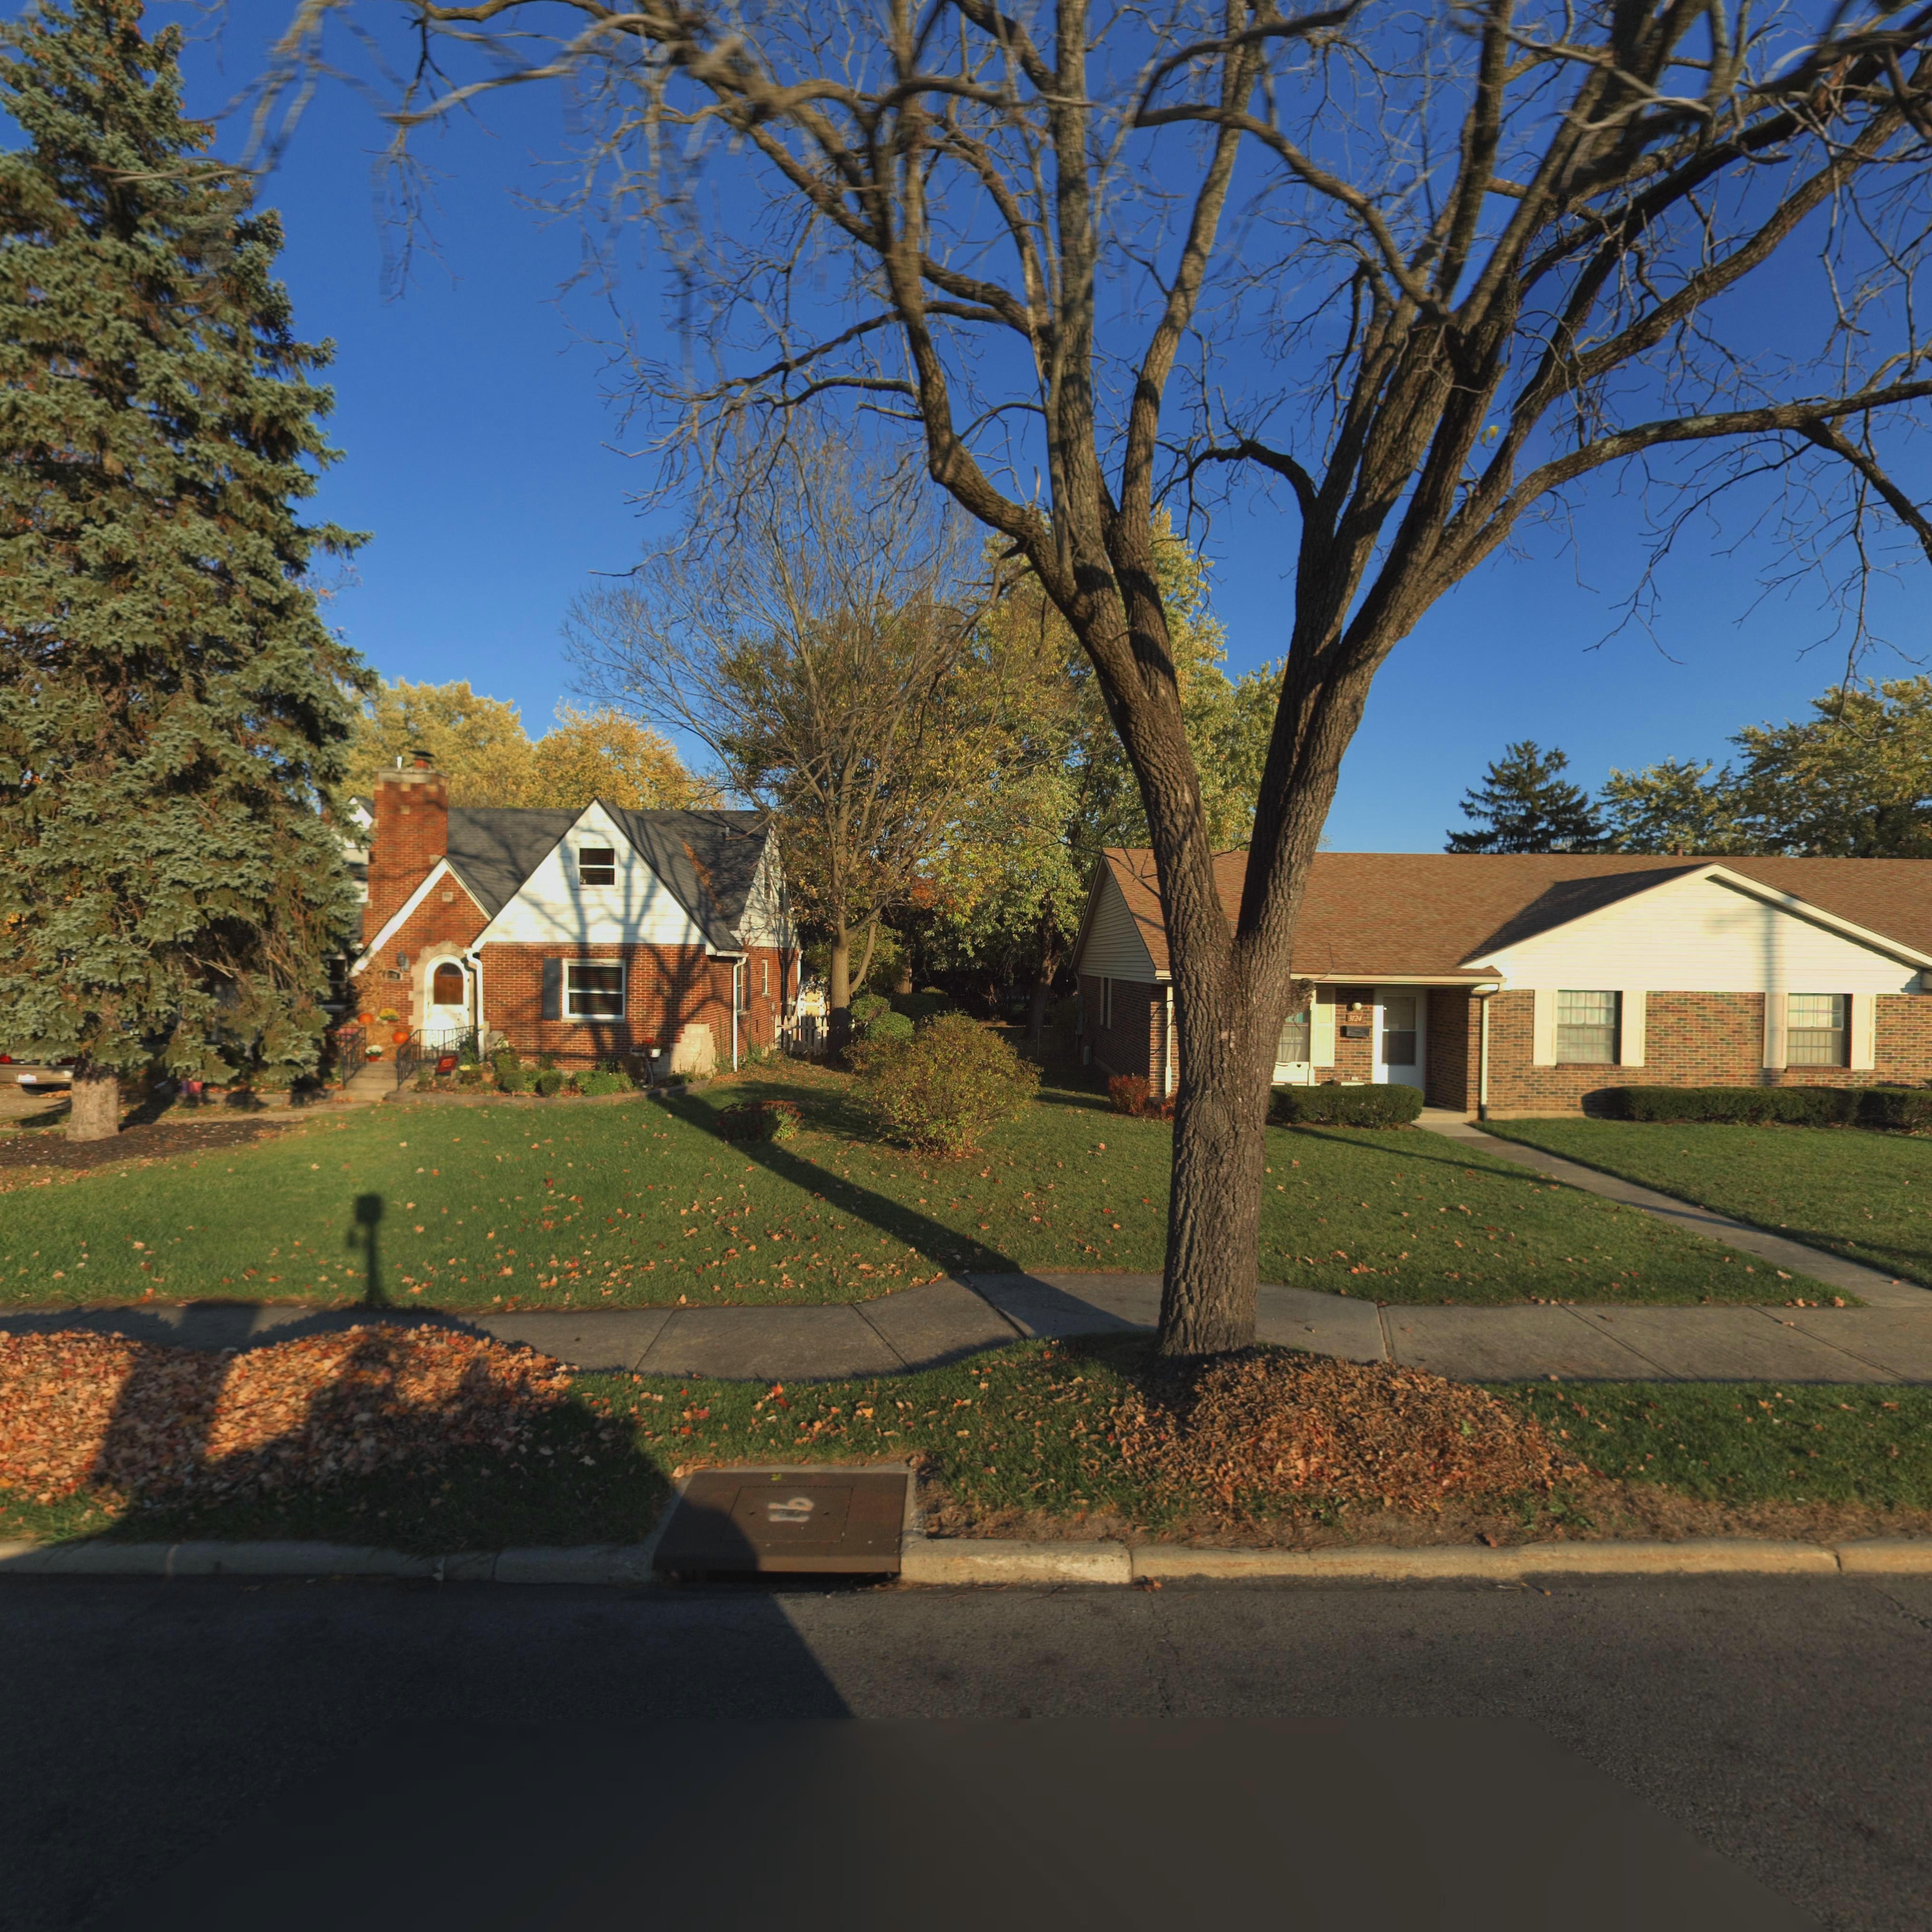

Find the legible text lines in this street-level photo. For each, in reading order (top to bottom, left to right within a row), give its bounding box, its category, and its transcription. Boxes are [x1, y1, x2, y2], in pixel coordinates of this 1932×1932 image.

[1348, 1014, 1363, 1022] StreetNumber: 3124